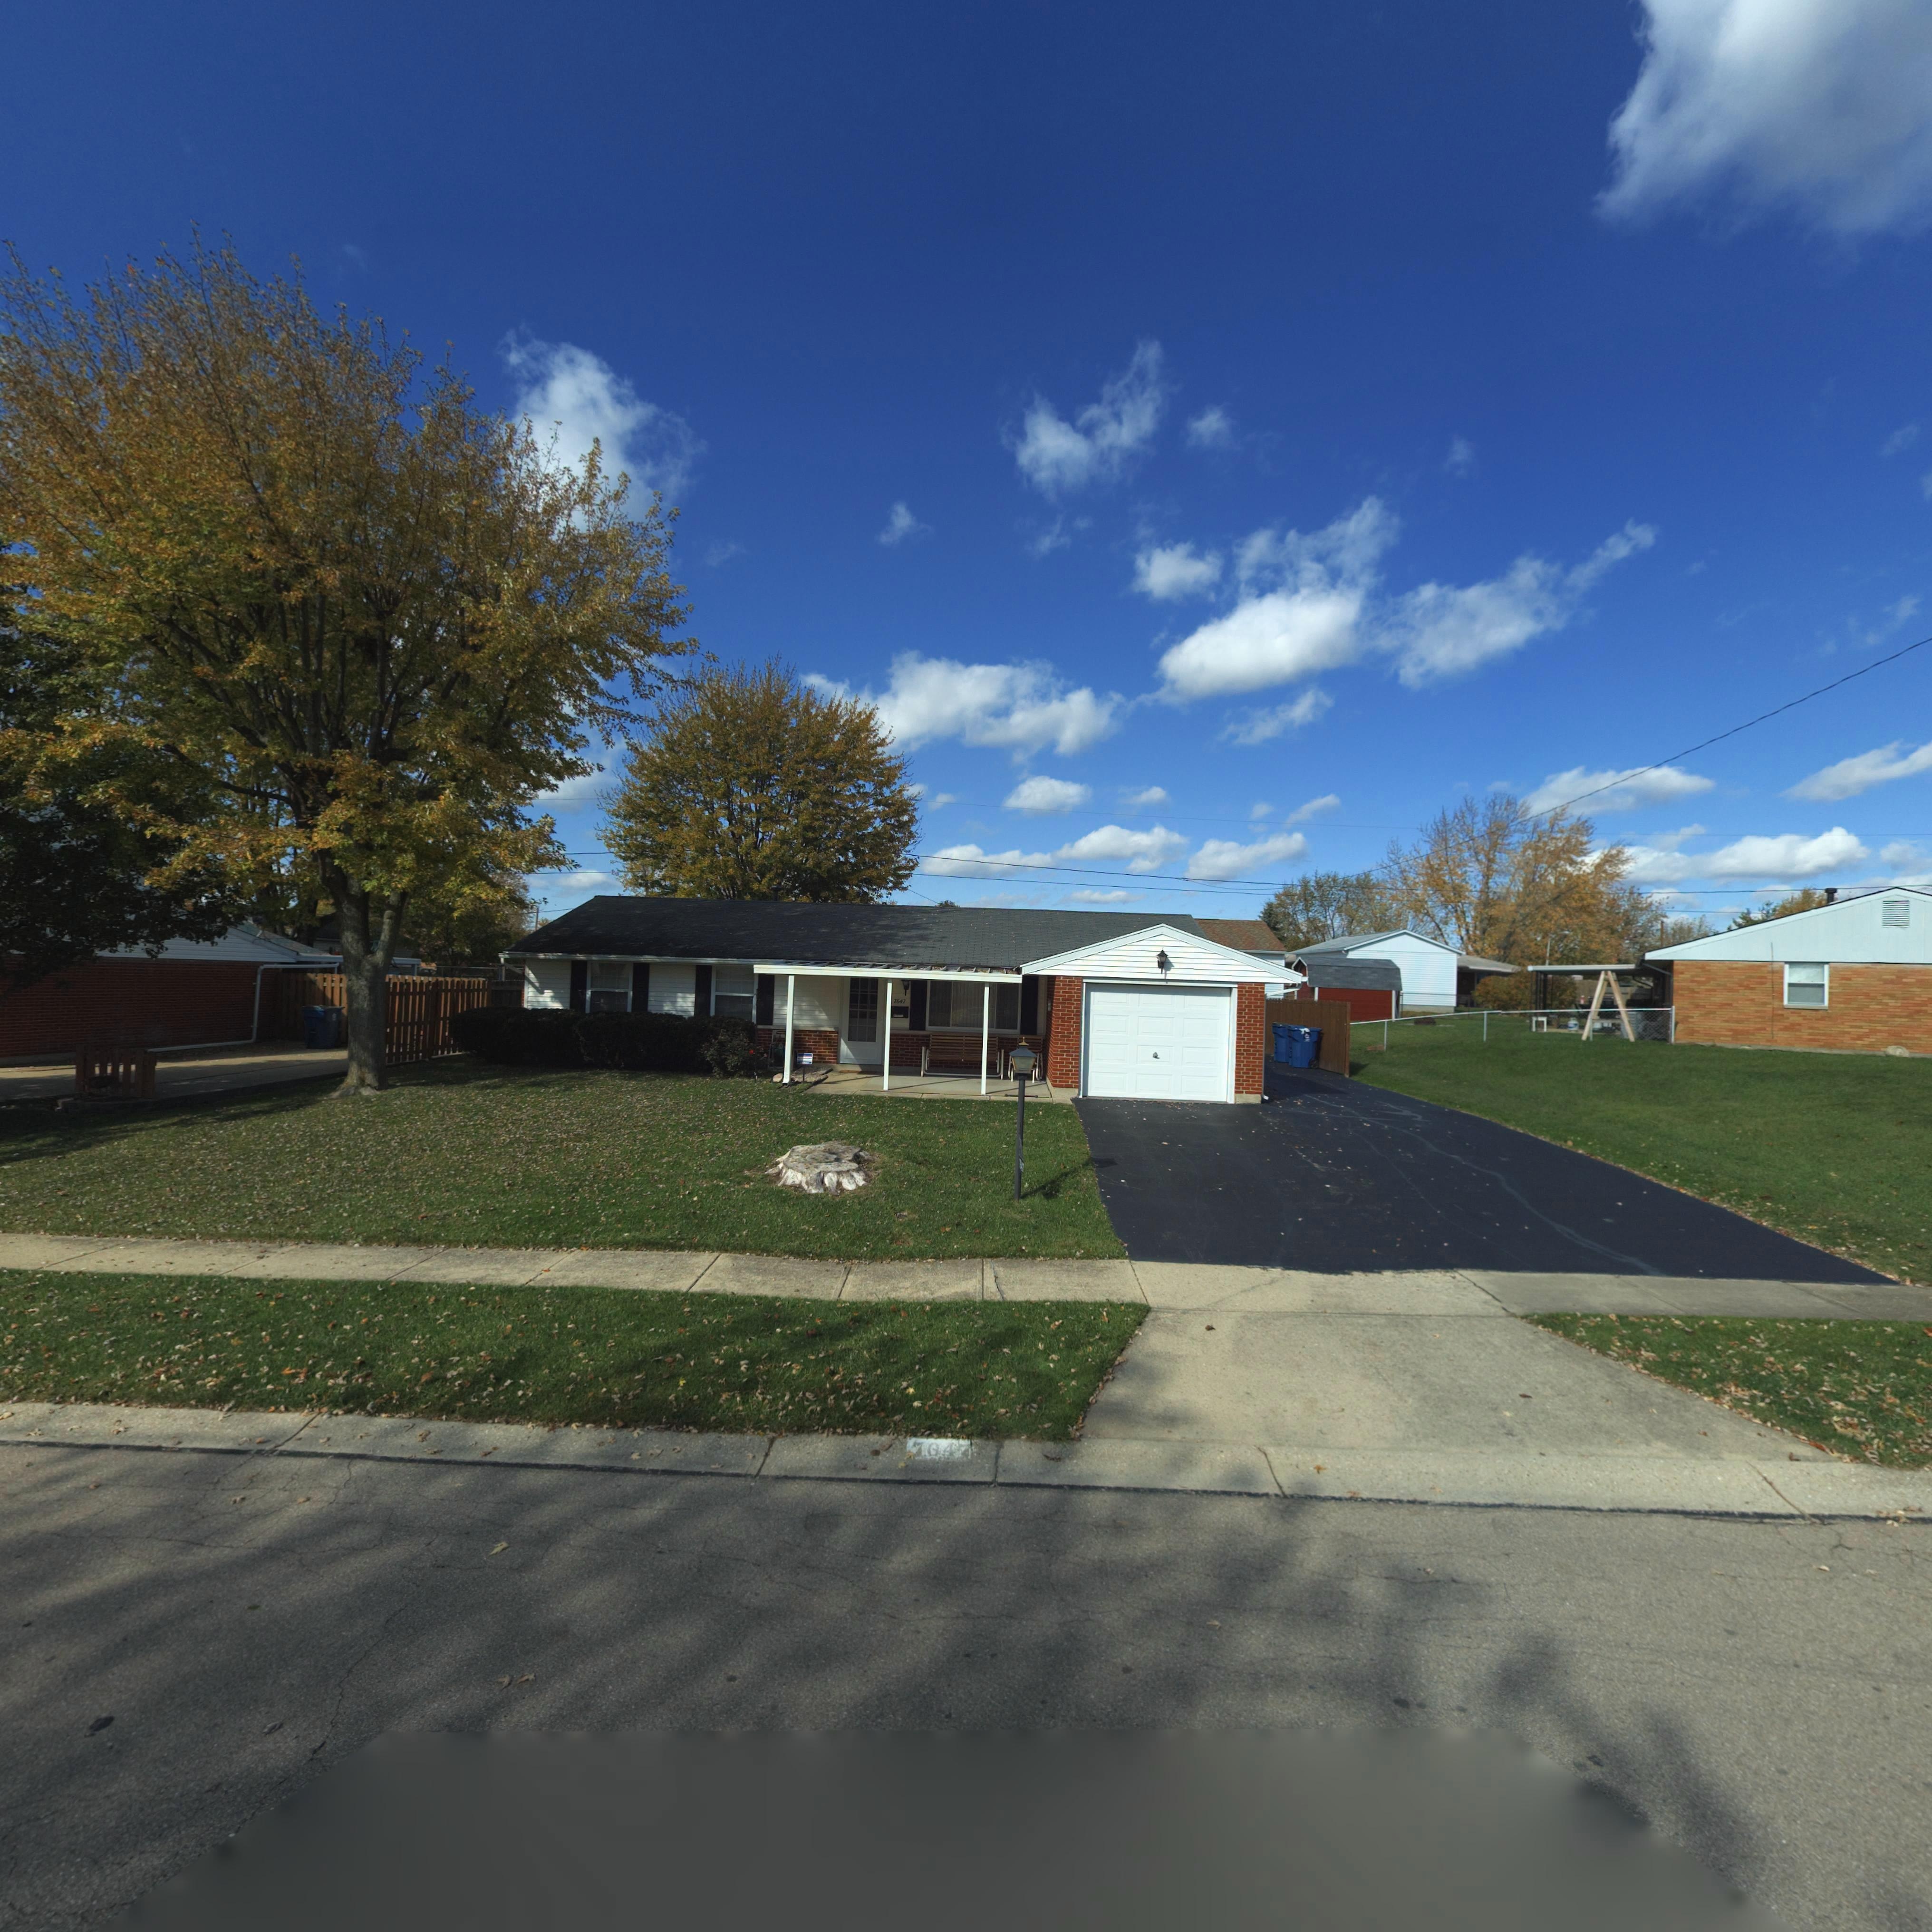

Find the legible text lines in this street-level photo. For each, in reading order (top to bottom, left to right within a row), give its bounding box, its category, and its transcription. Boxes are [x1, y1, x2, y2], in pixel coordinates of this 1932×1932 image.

[893, 998, 907, 1005] StreetNumber: 7647
[911, 1439, 975, 1459] StreetNumber: 7047